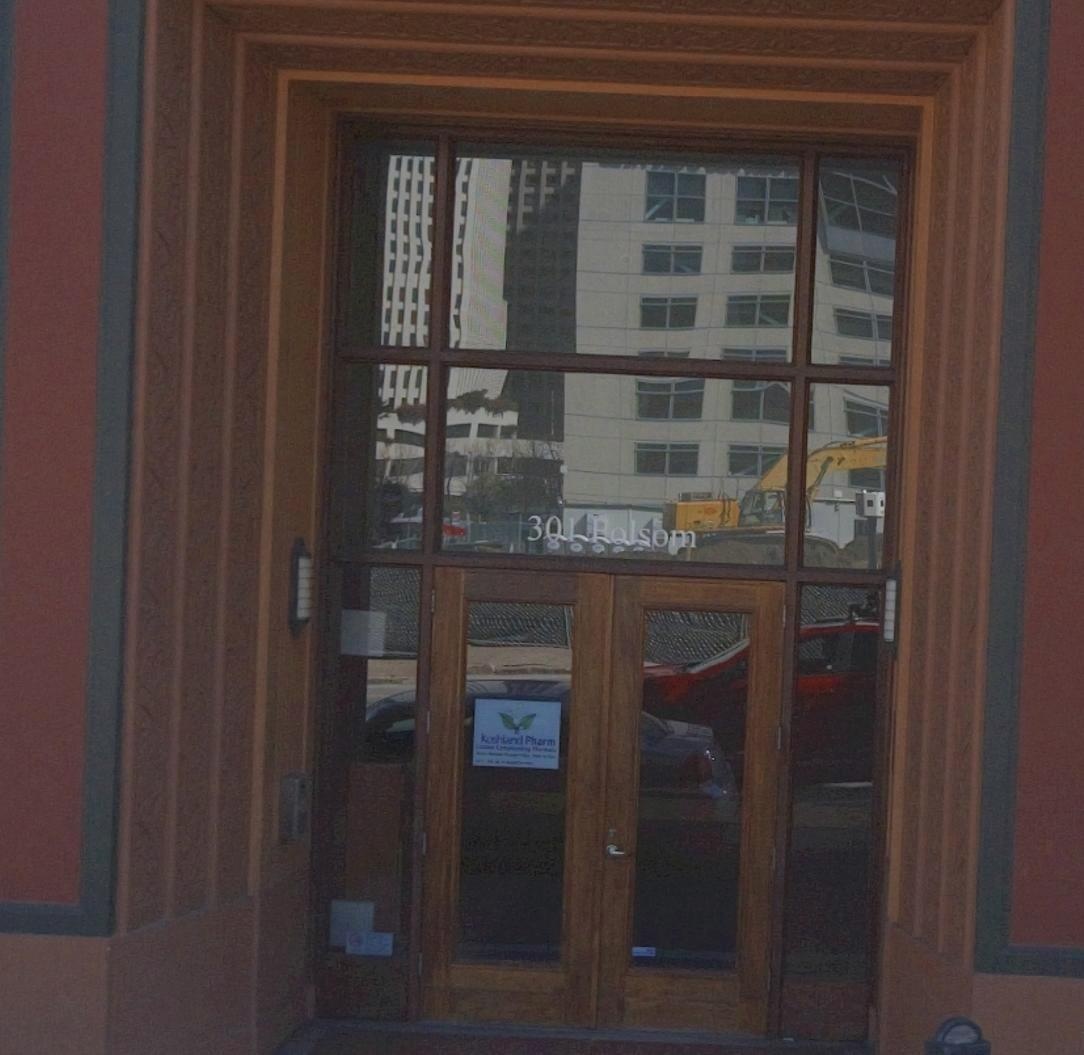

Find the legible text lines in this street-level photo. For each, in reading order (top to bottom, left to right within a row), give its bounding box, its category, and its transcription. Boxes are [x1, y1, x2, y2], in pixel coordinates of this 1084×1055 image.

[524, 512, 579, 546] StreetNumber: 301
[587, 515, 700, 551] StreetName: Folsom
[478, 731, 557, 749] None: koshland Pharm